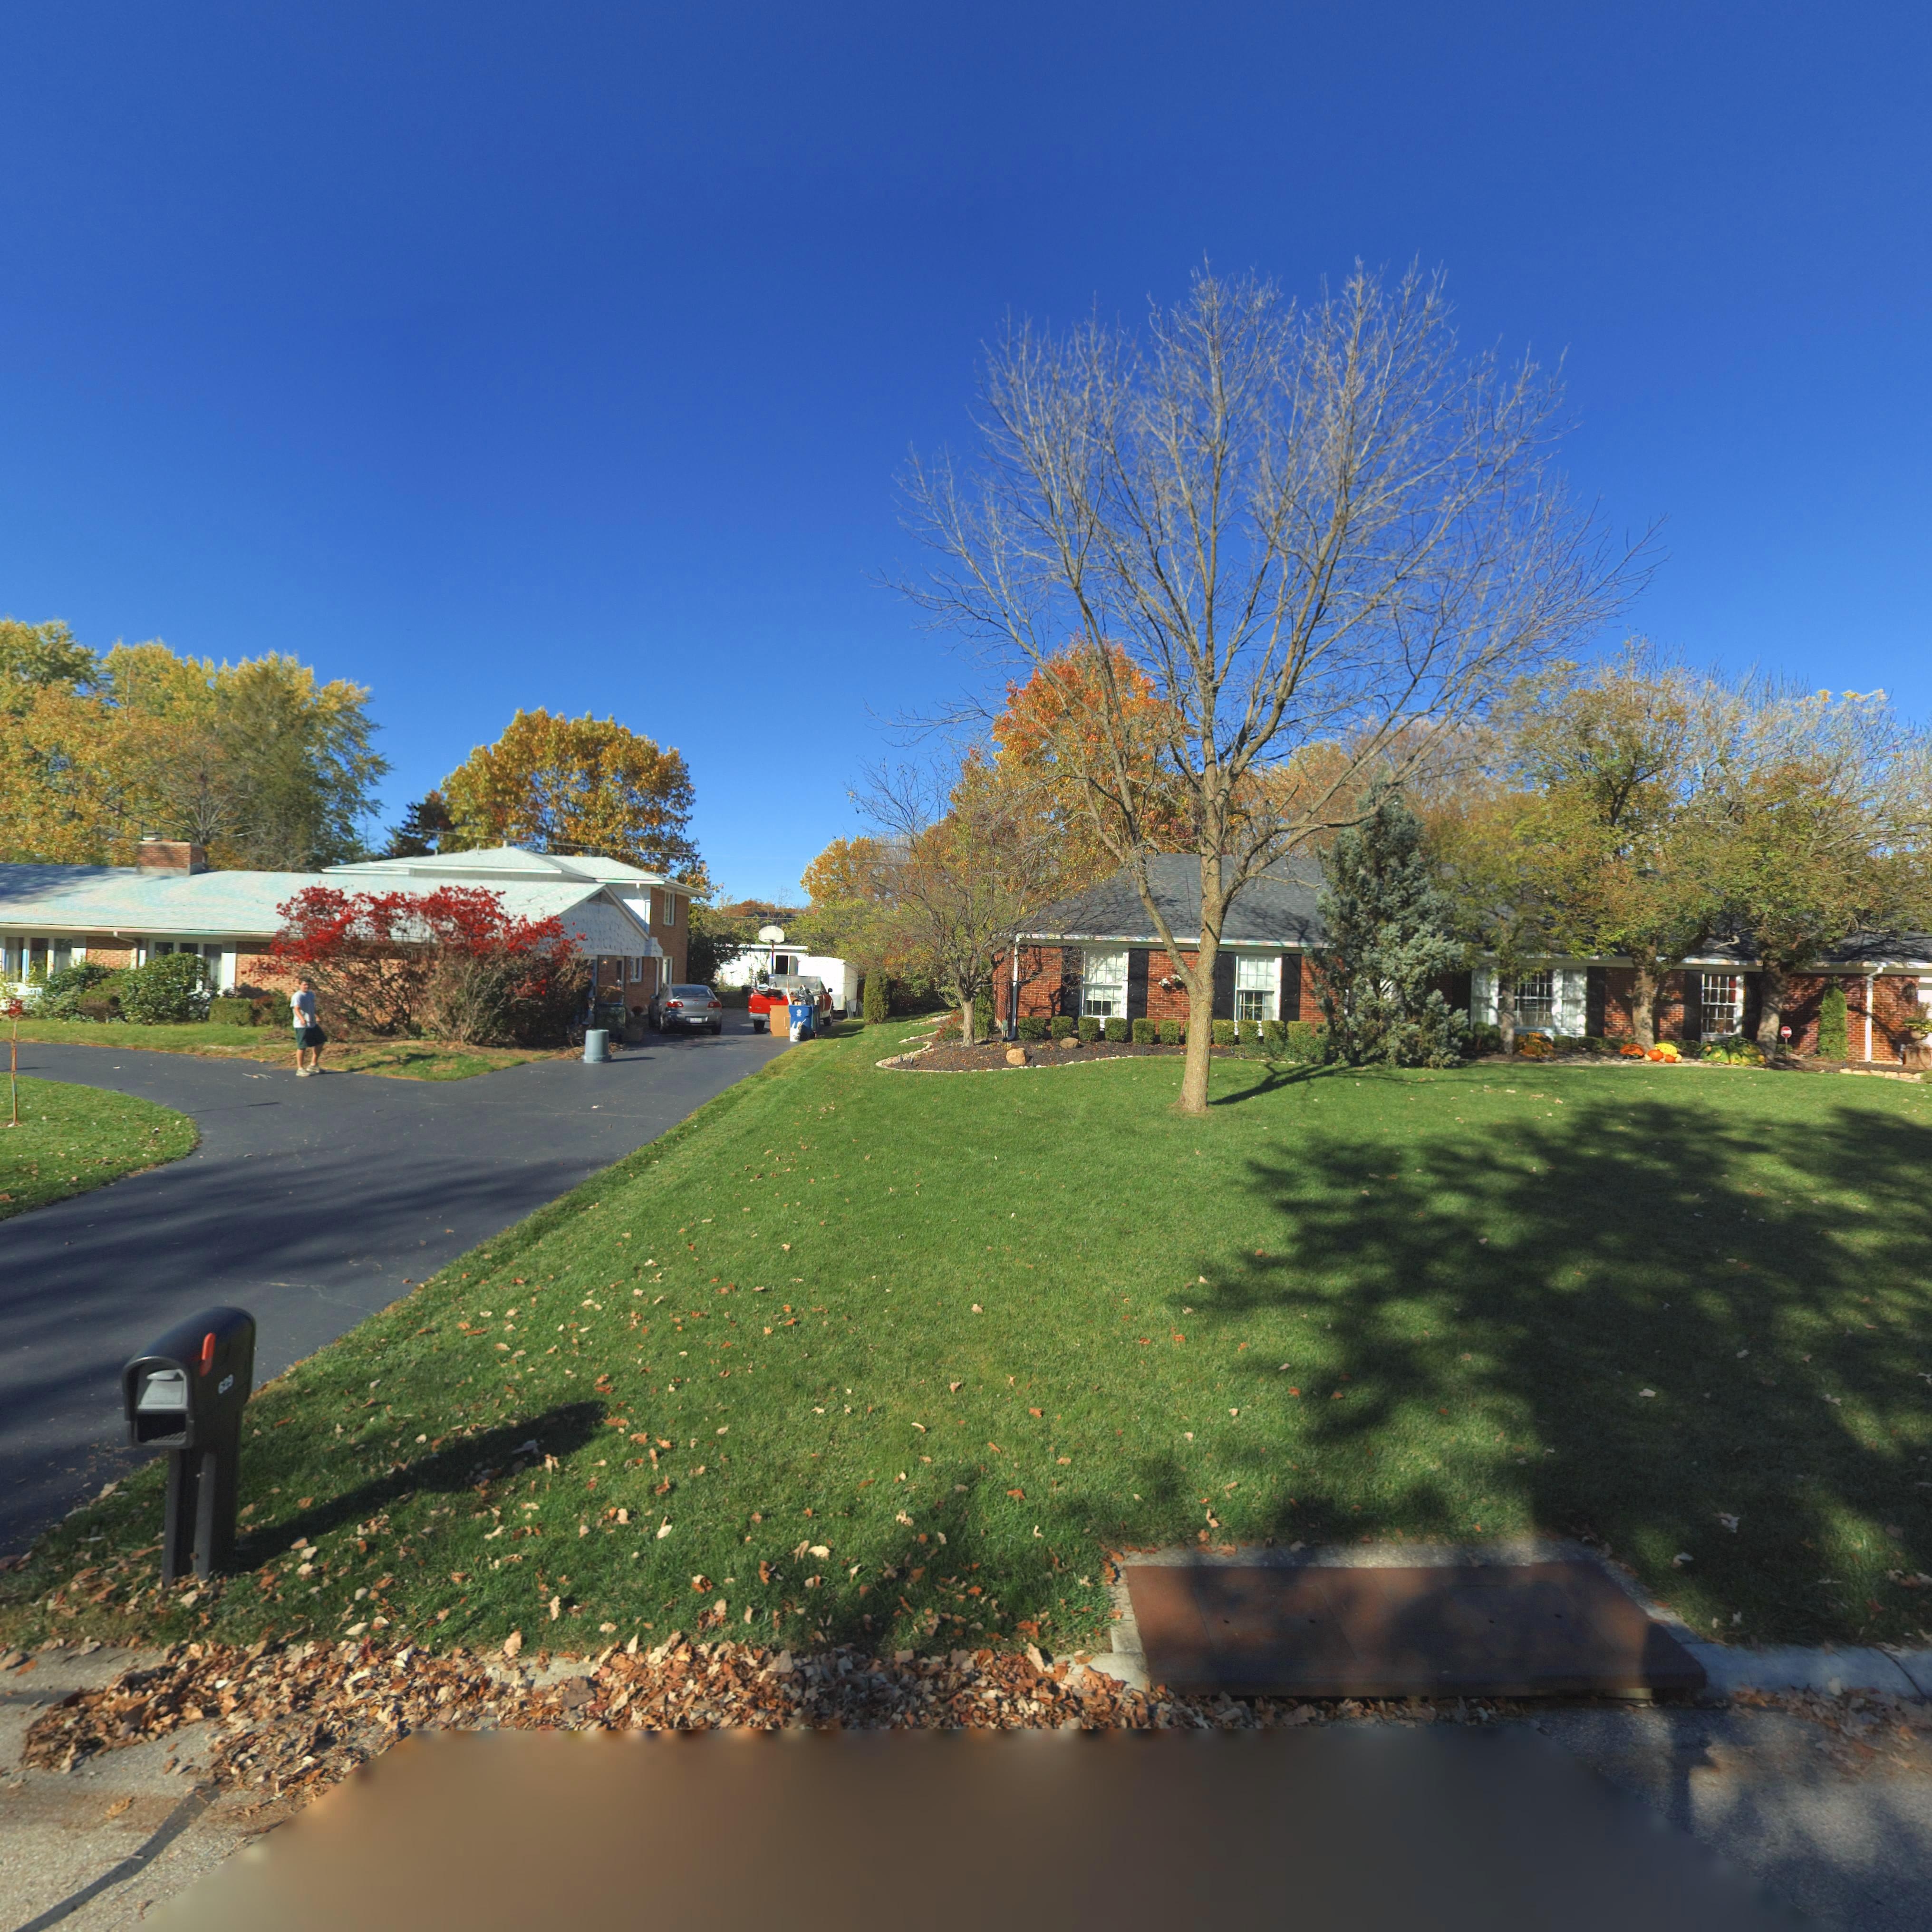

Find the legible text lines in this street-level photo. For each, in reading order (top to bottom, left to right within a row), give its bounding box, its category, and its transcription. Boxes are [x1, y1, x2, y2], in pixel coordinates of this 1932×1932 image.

[217, 1371, 235, 1397] StreetNumber: 629